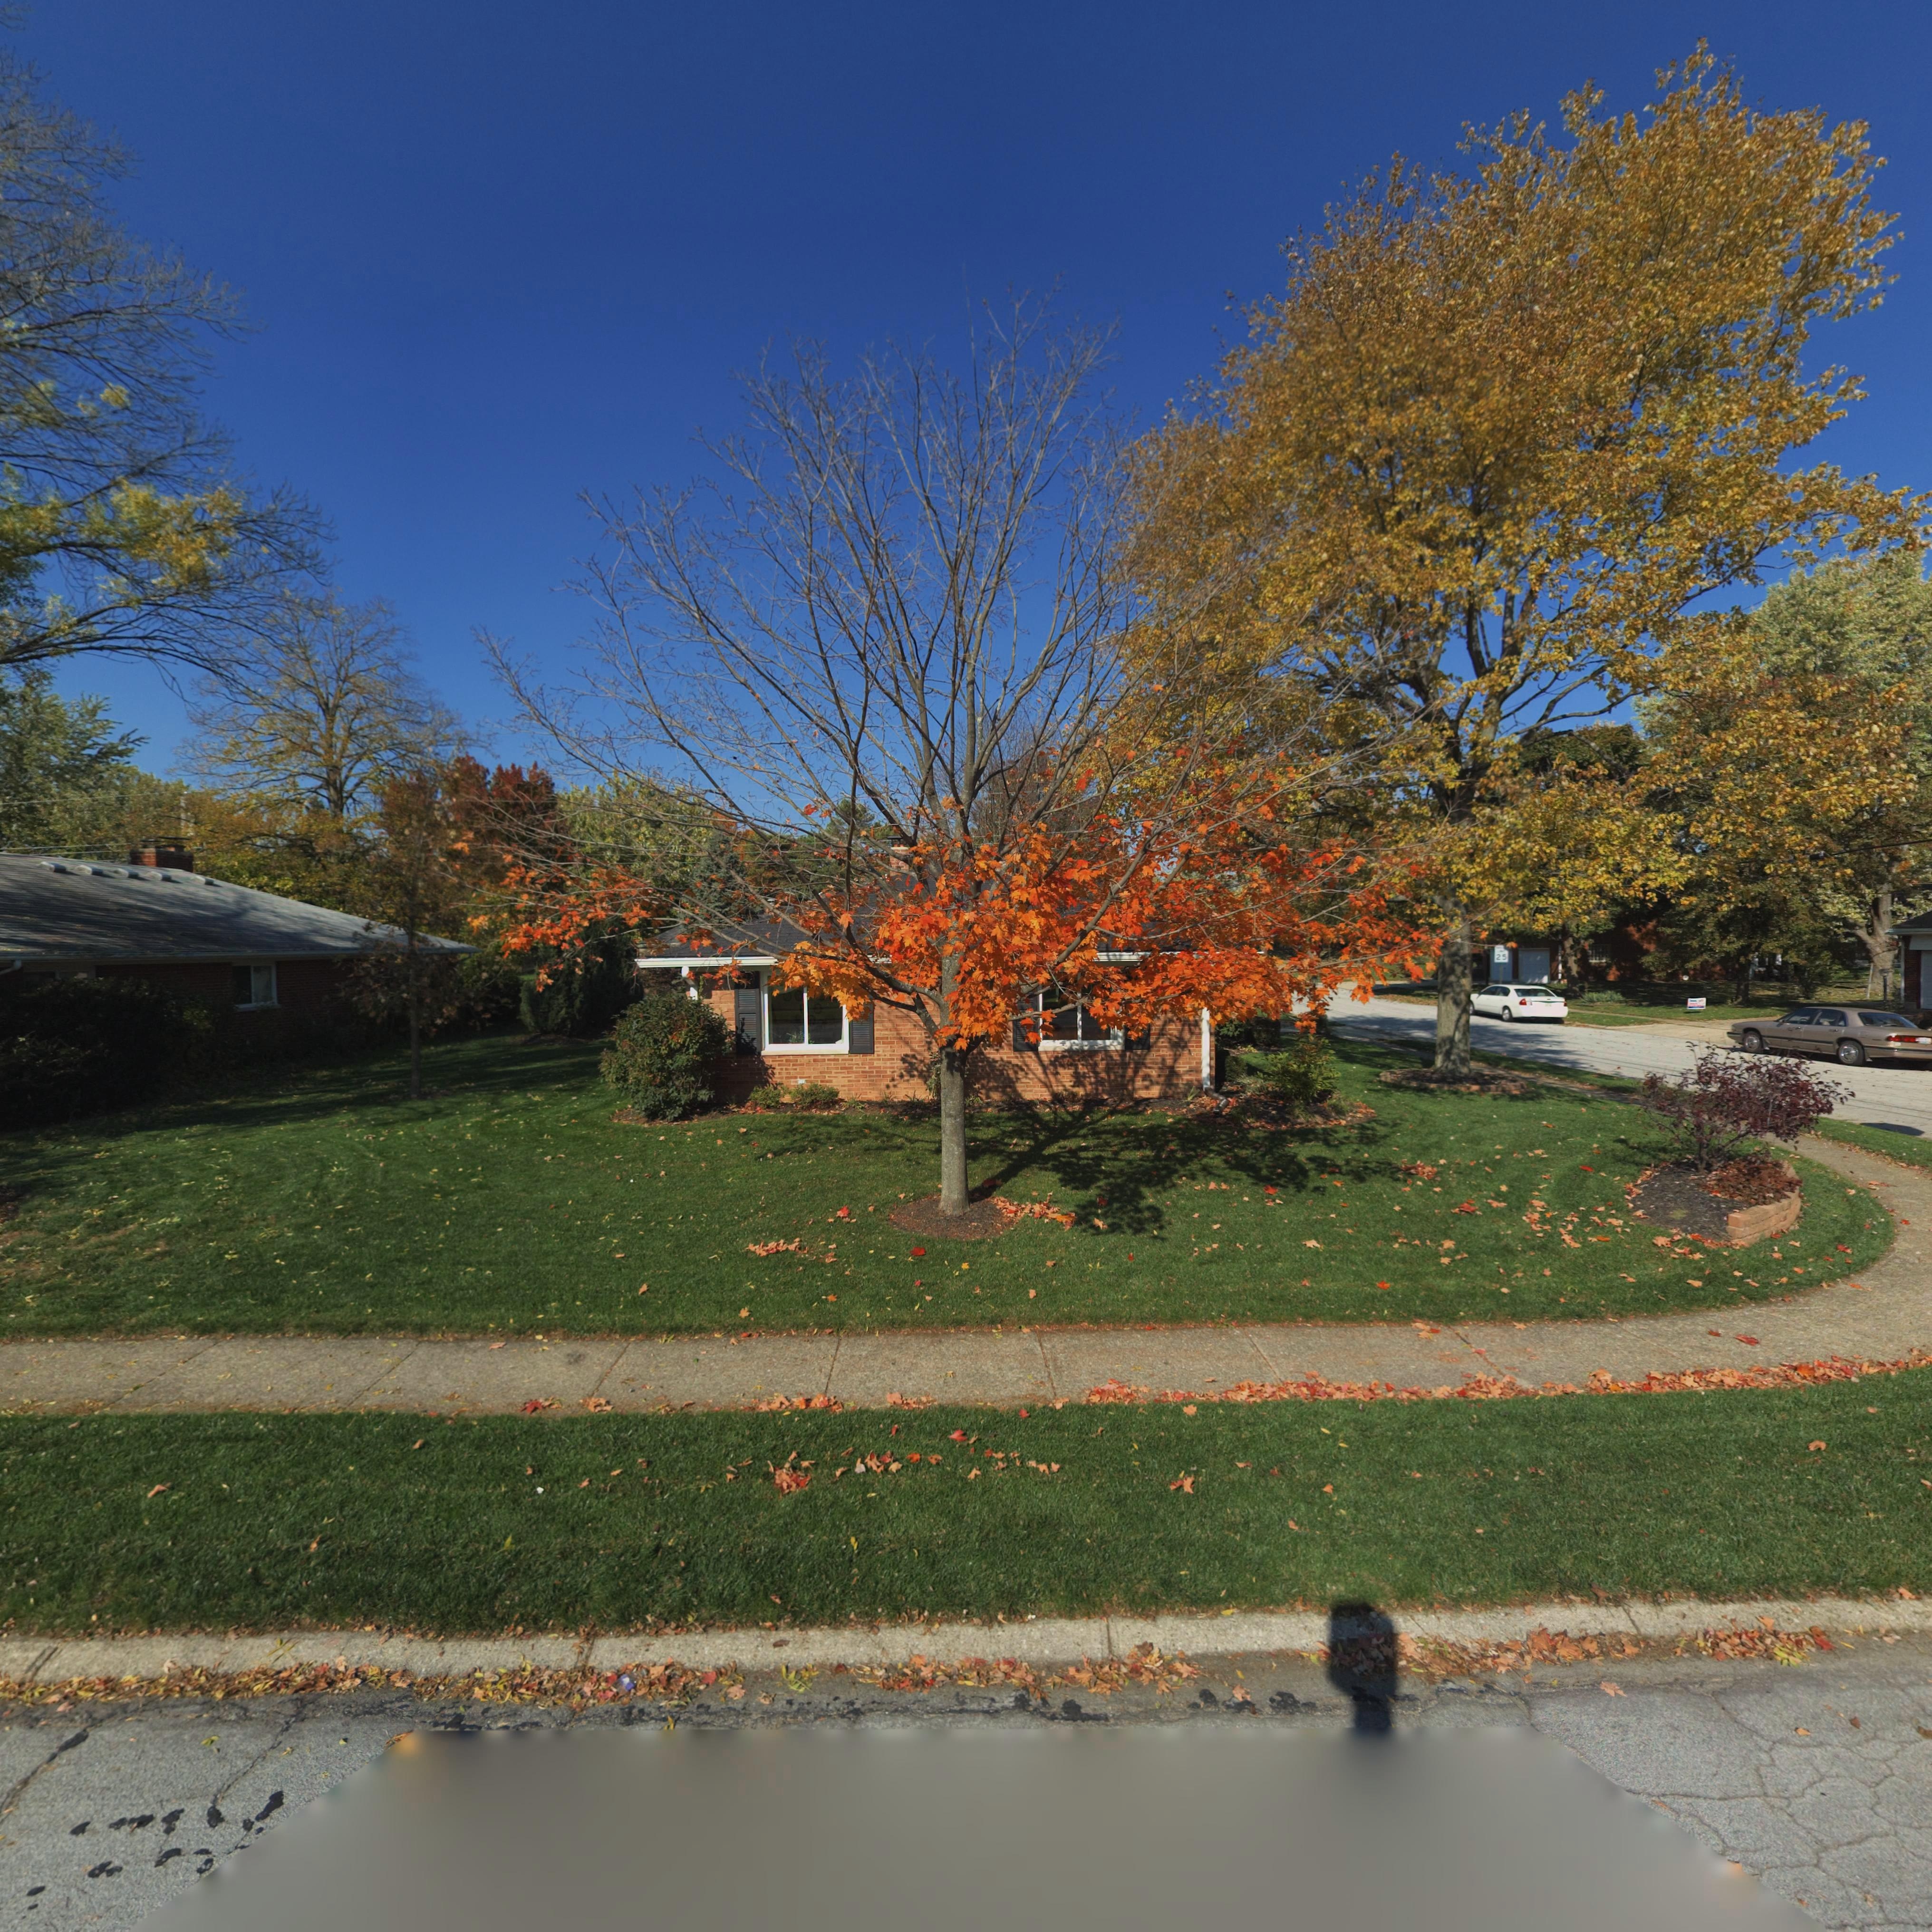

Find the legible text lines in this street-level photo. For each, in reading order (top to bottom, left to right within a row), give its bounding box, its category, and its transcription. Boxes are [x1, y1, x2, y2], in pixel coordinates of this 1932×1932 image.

[1495, 953, 1507, 961] None: 25